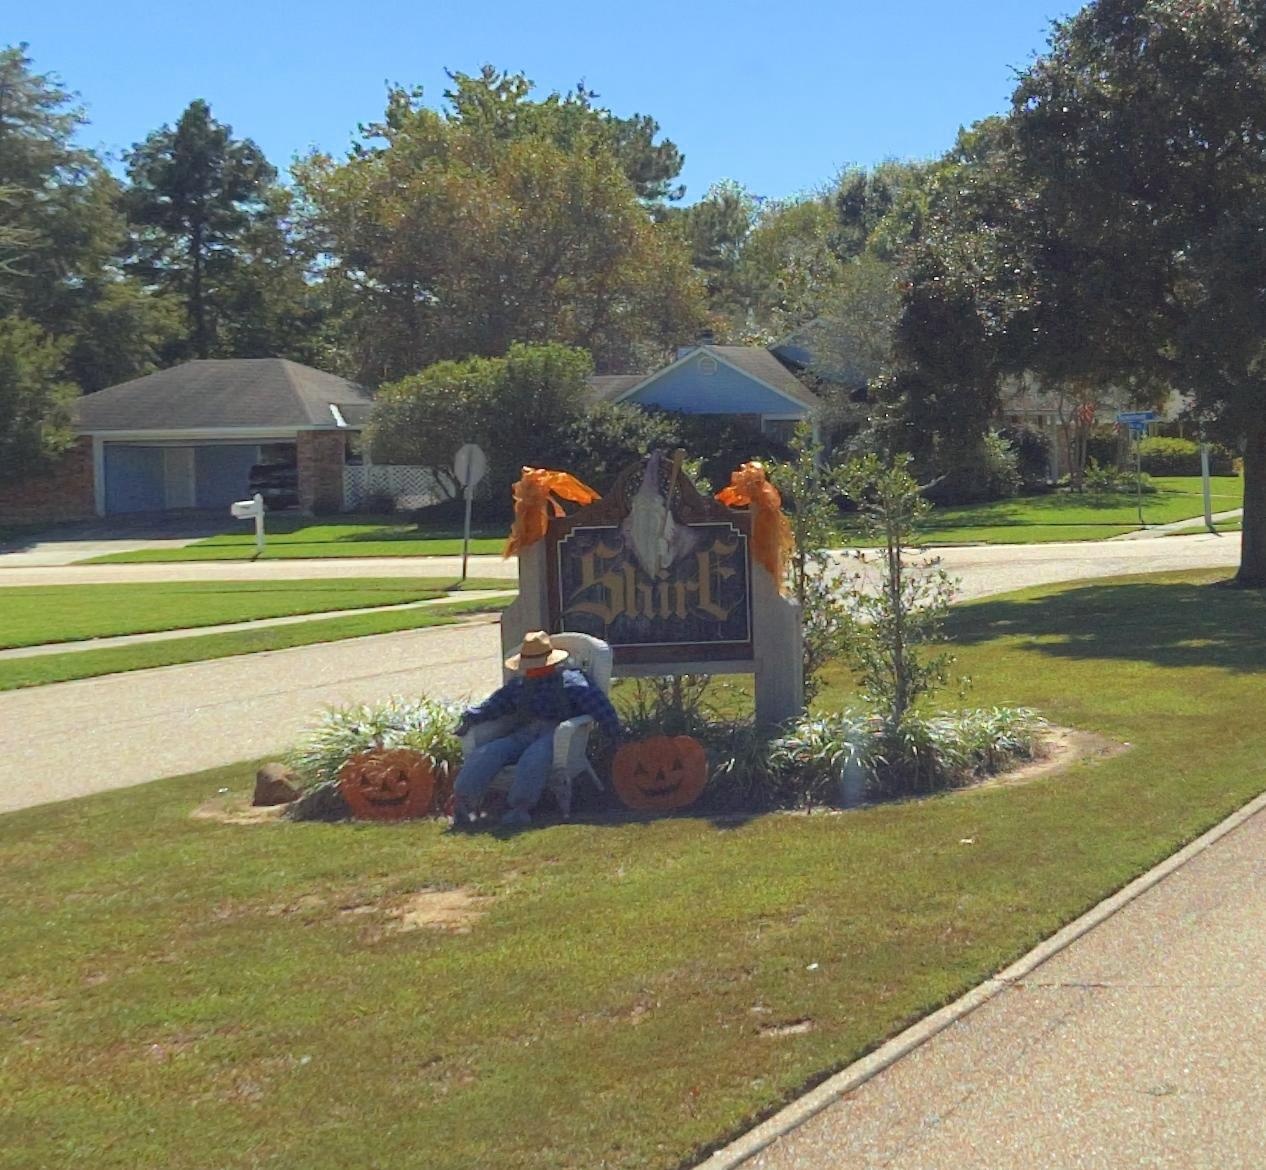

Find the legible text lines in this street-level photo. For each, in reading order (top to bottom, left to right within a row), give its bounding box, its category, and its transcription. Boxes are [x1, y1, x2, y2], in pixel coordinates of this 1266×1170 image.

[565, 538, 740, 626] BusinessName: ShirE